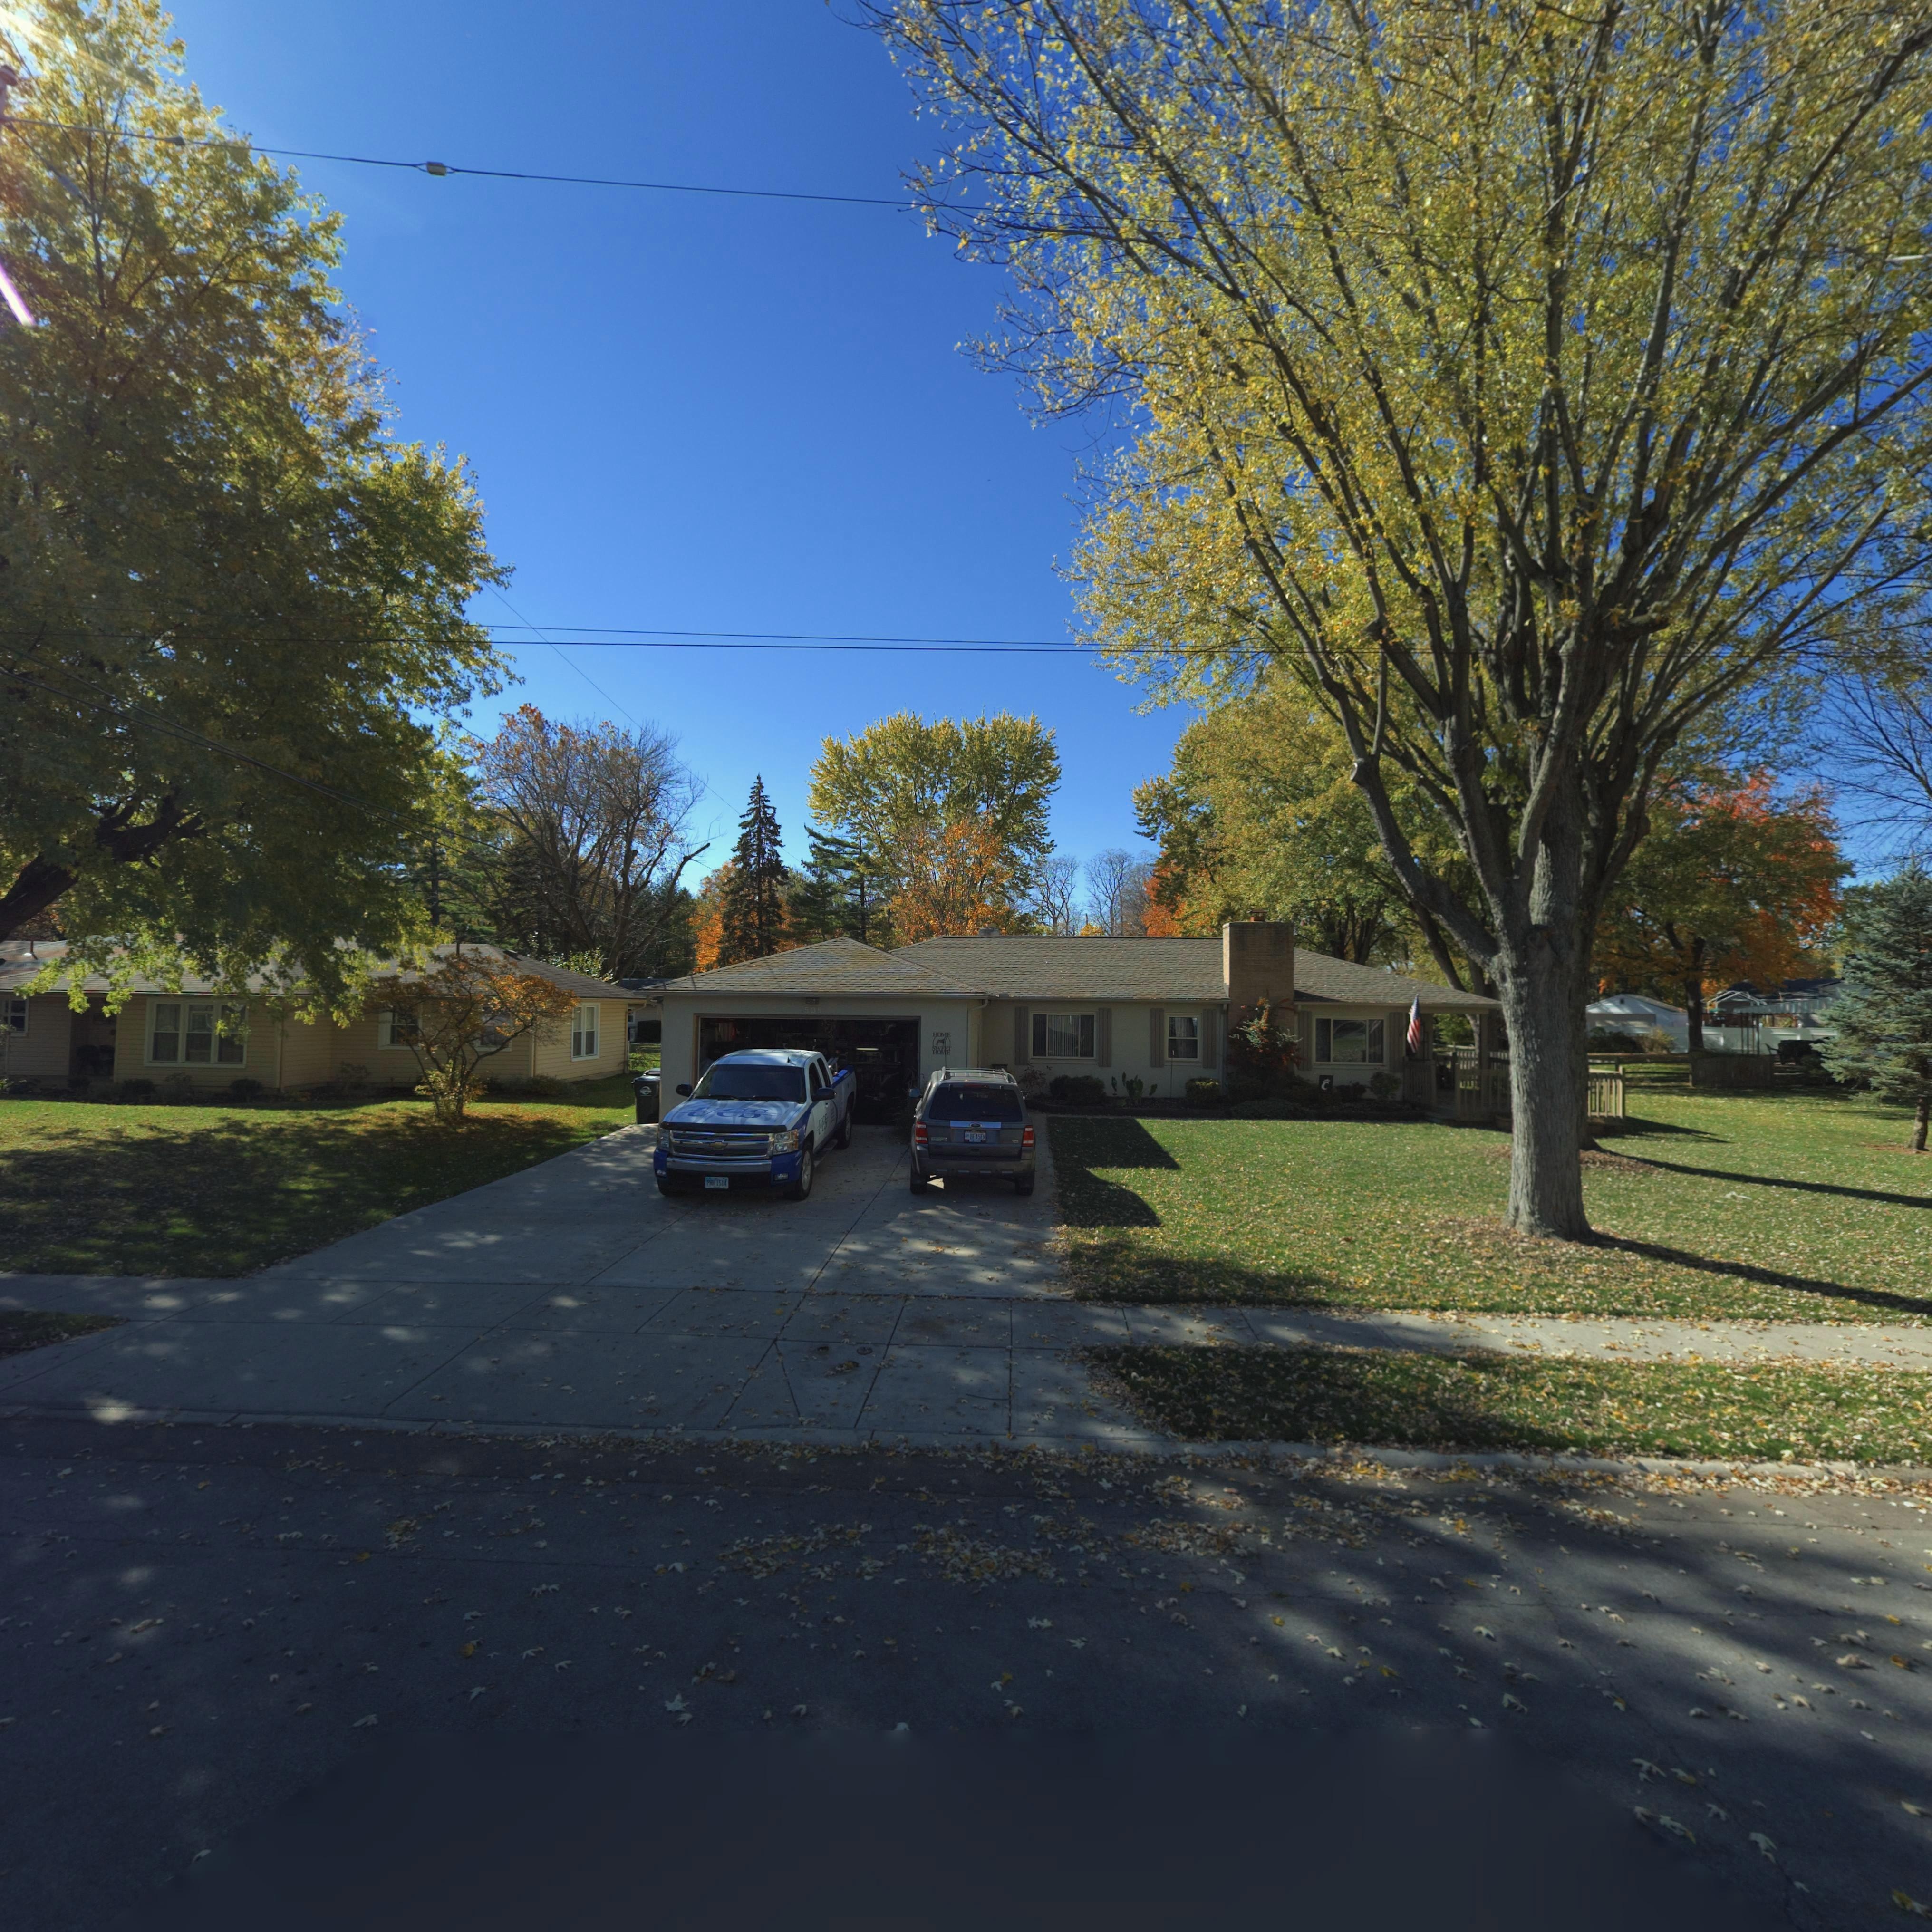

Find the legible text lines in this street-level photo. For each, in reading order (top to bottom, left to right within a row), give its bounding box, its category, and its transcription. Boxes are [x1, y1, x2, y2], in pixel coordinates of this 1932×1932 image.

[803, 1006, 823, 1015] StreetNumber: 505